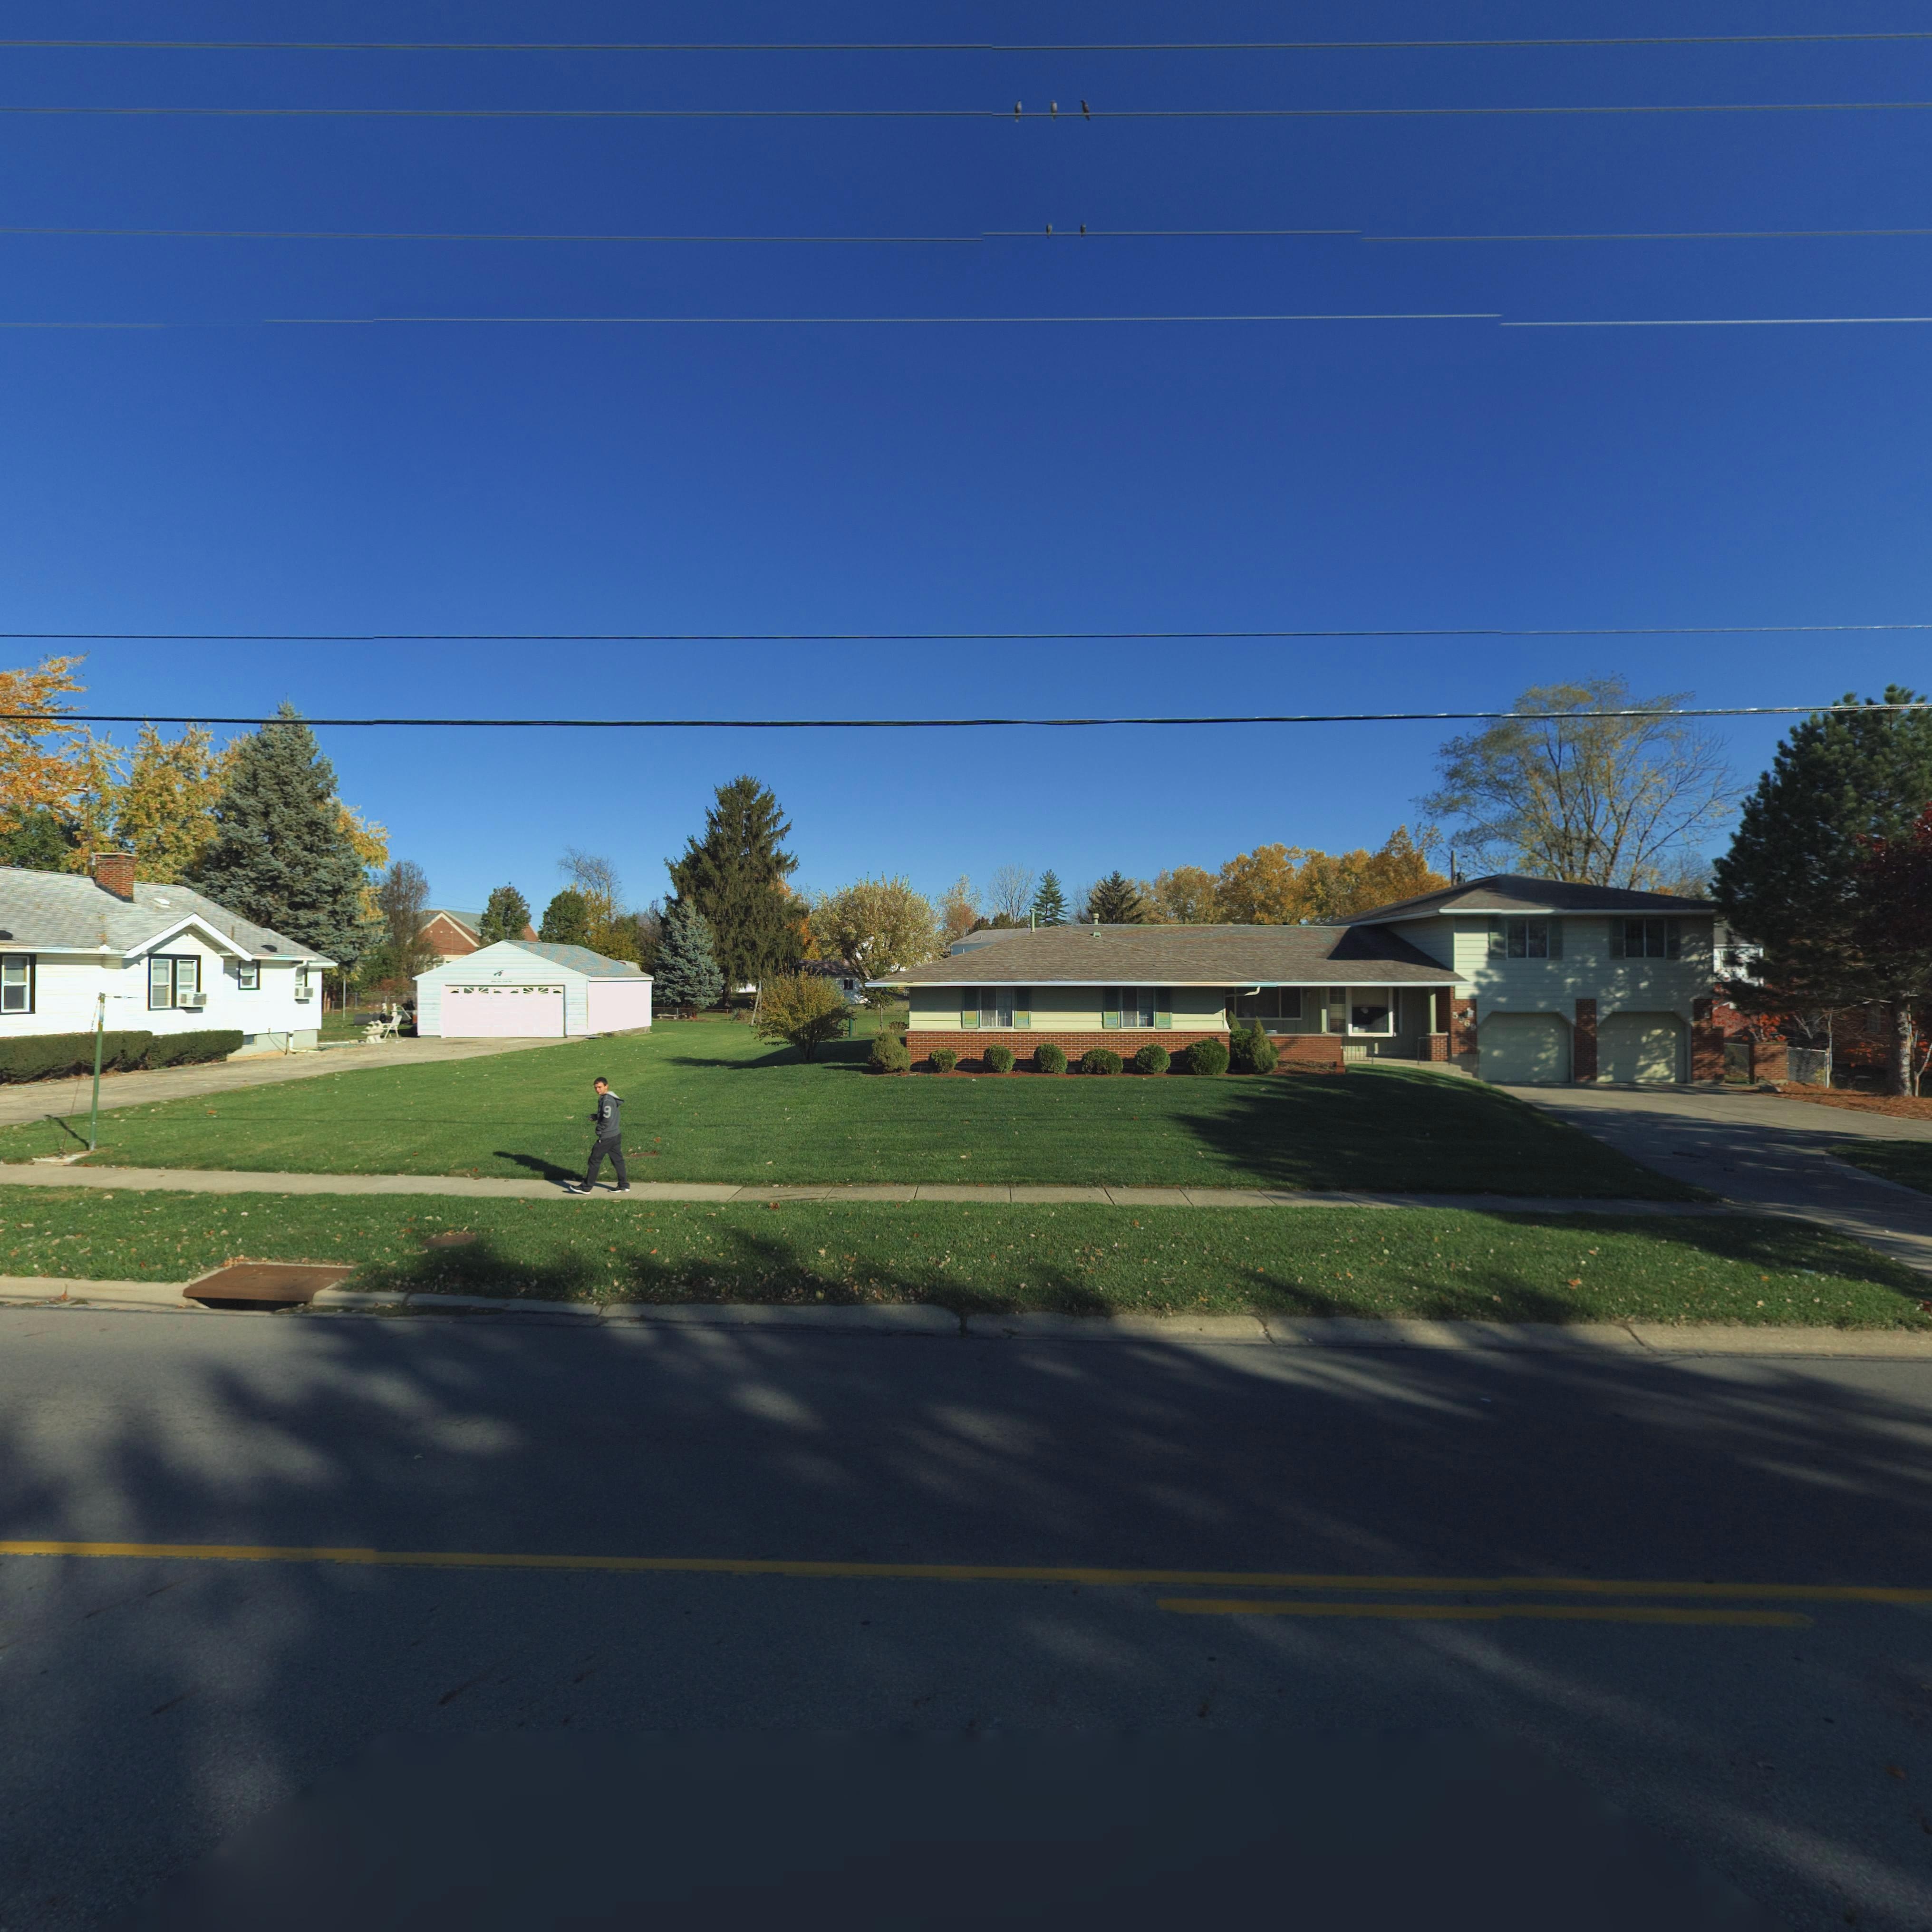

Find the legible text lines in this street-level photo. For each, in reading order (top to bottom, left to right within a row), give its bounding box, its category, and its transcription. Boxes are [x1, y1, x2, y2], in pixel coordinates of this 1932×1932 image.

[1452, 1011, 1477, 1032] StreetNumber: 5969